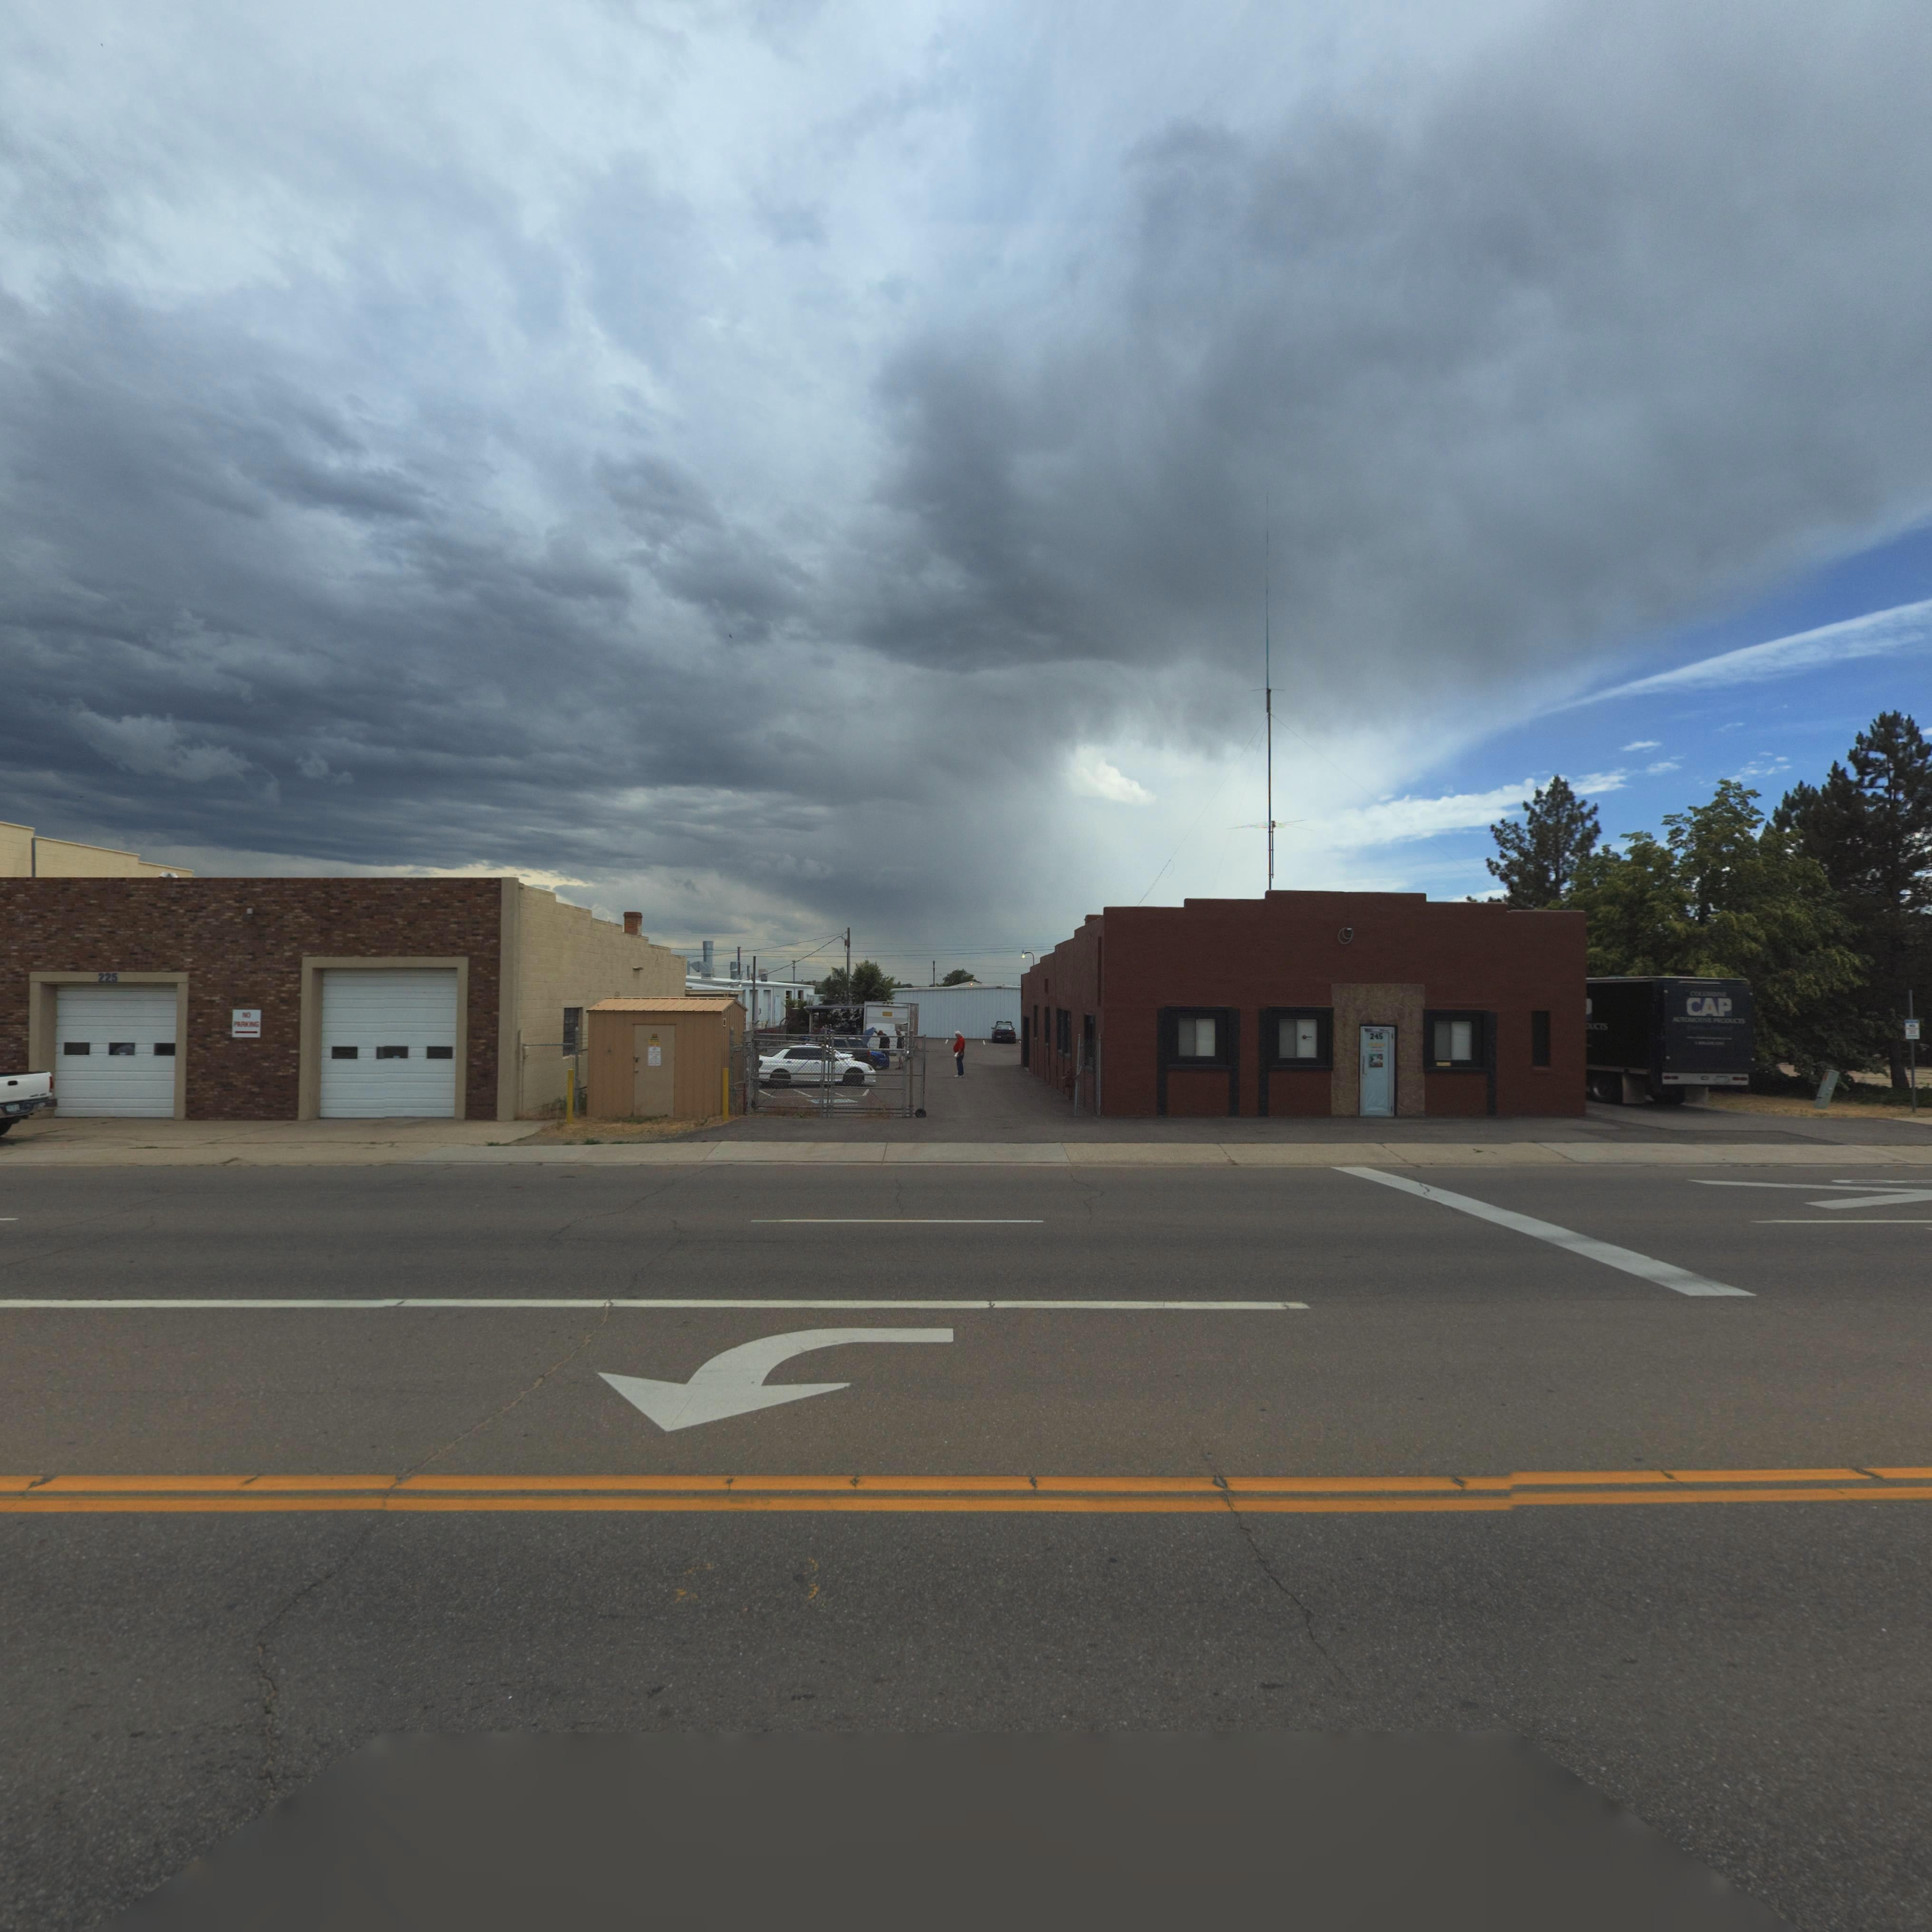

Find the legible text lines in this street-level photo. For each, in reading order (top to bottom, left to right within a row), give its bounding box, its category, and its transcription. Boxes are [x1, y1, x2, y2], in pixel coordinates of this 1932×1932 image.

[97, 972, 117, 982] StreetNumber: 225
[1369, 1033, 1383, 1040] StreetNumber: 245